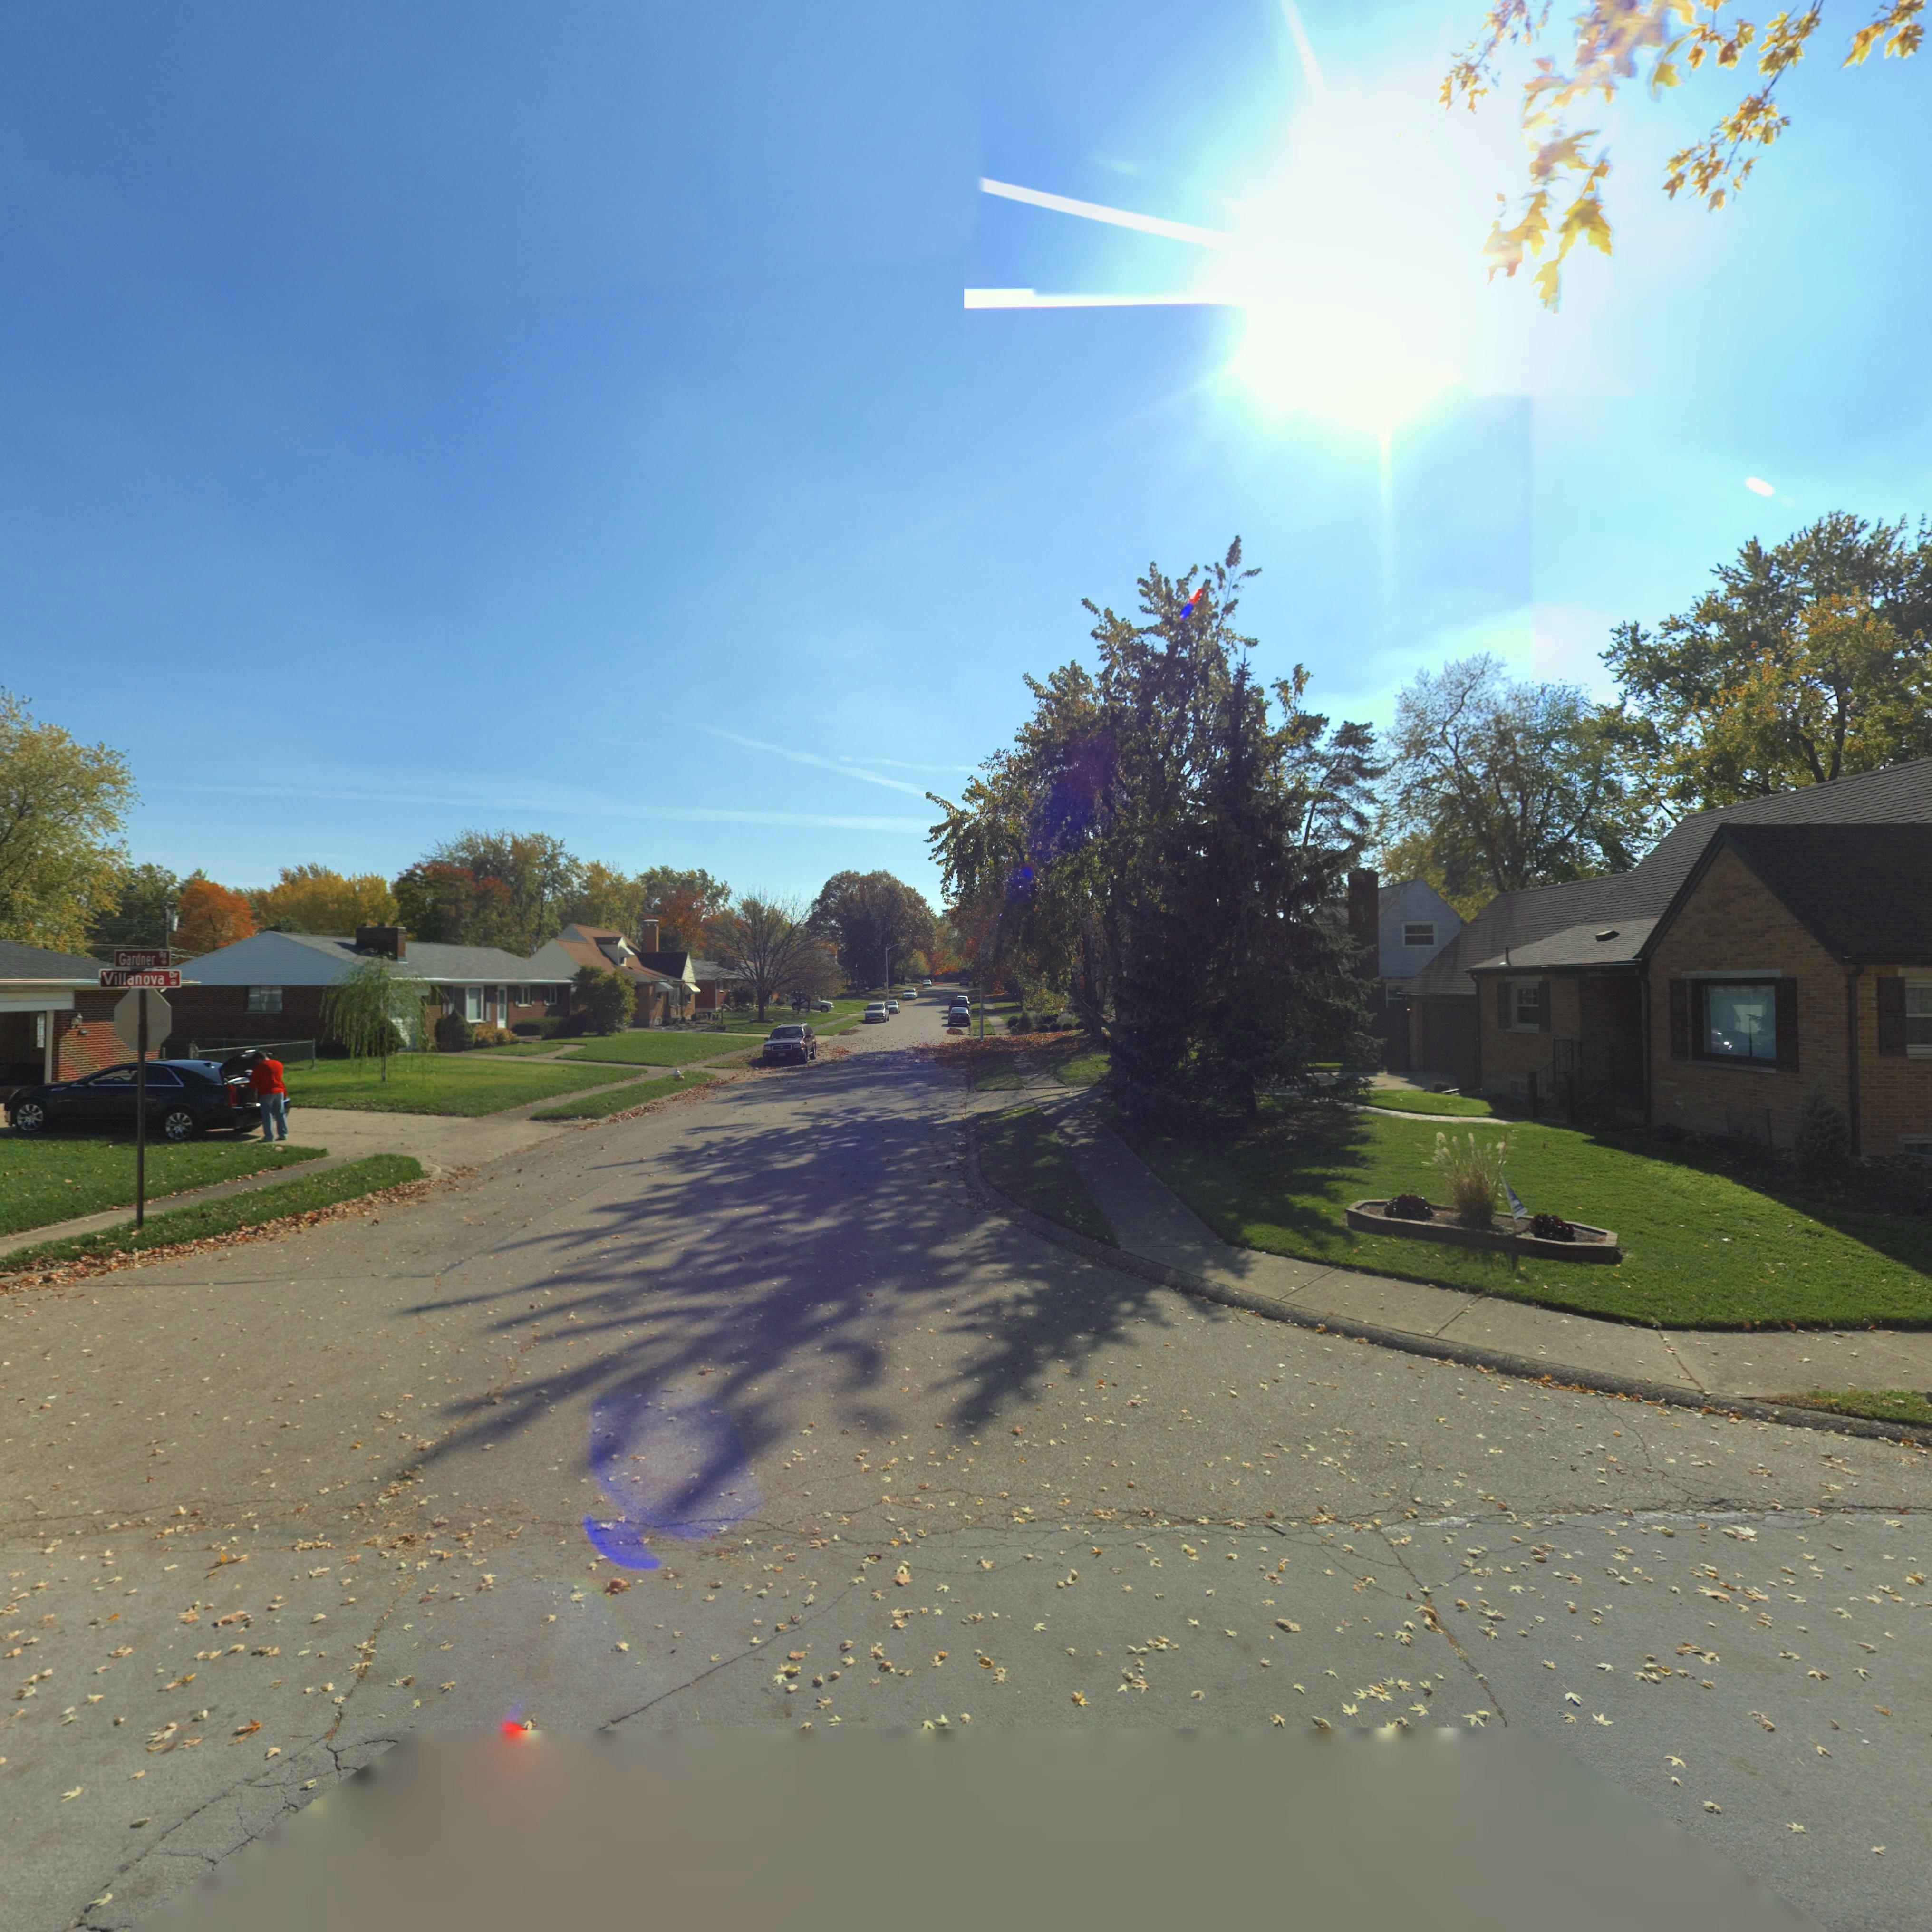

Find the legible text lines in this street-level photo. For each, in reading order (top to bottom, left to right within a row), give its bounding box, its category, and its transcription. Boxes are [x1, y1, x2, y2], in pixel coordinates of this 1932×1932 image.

[118, 951, 168, 966] StreetName: Gardner Rd
[101, 971, 178, 985] StreetName: Villanova Dr
[1586, 971, 1603, 977] StreetNumber: 3*05